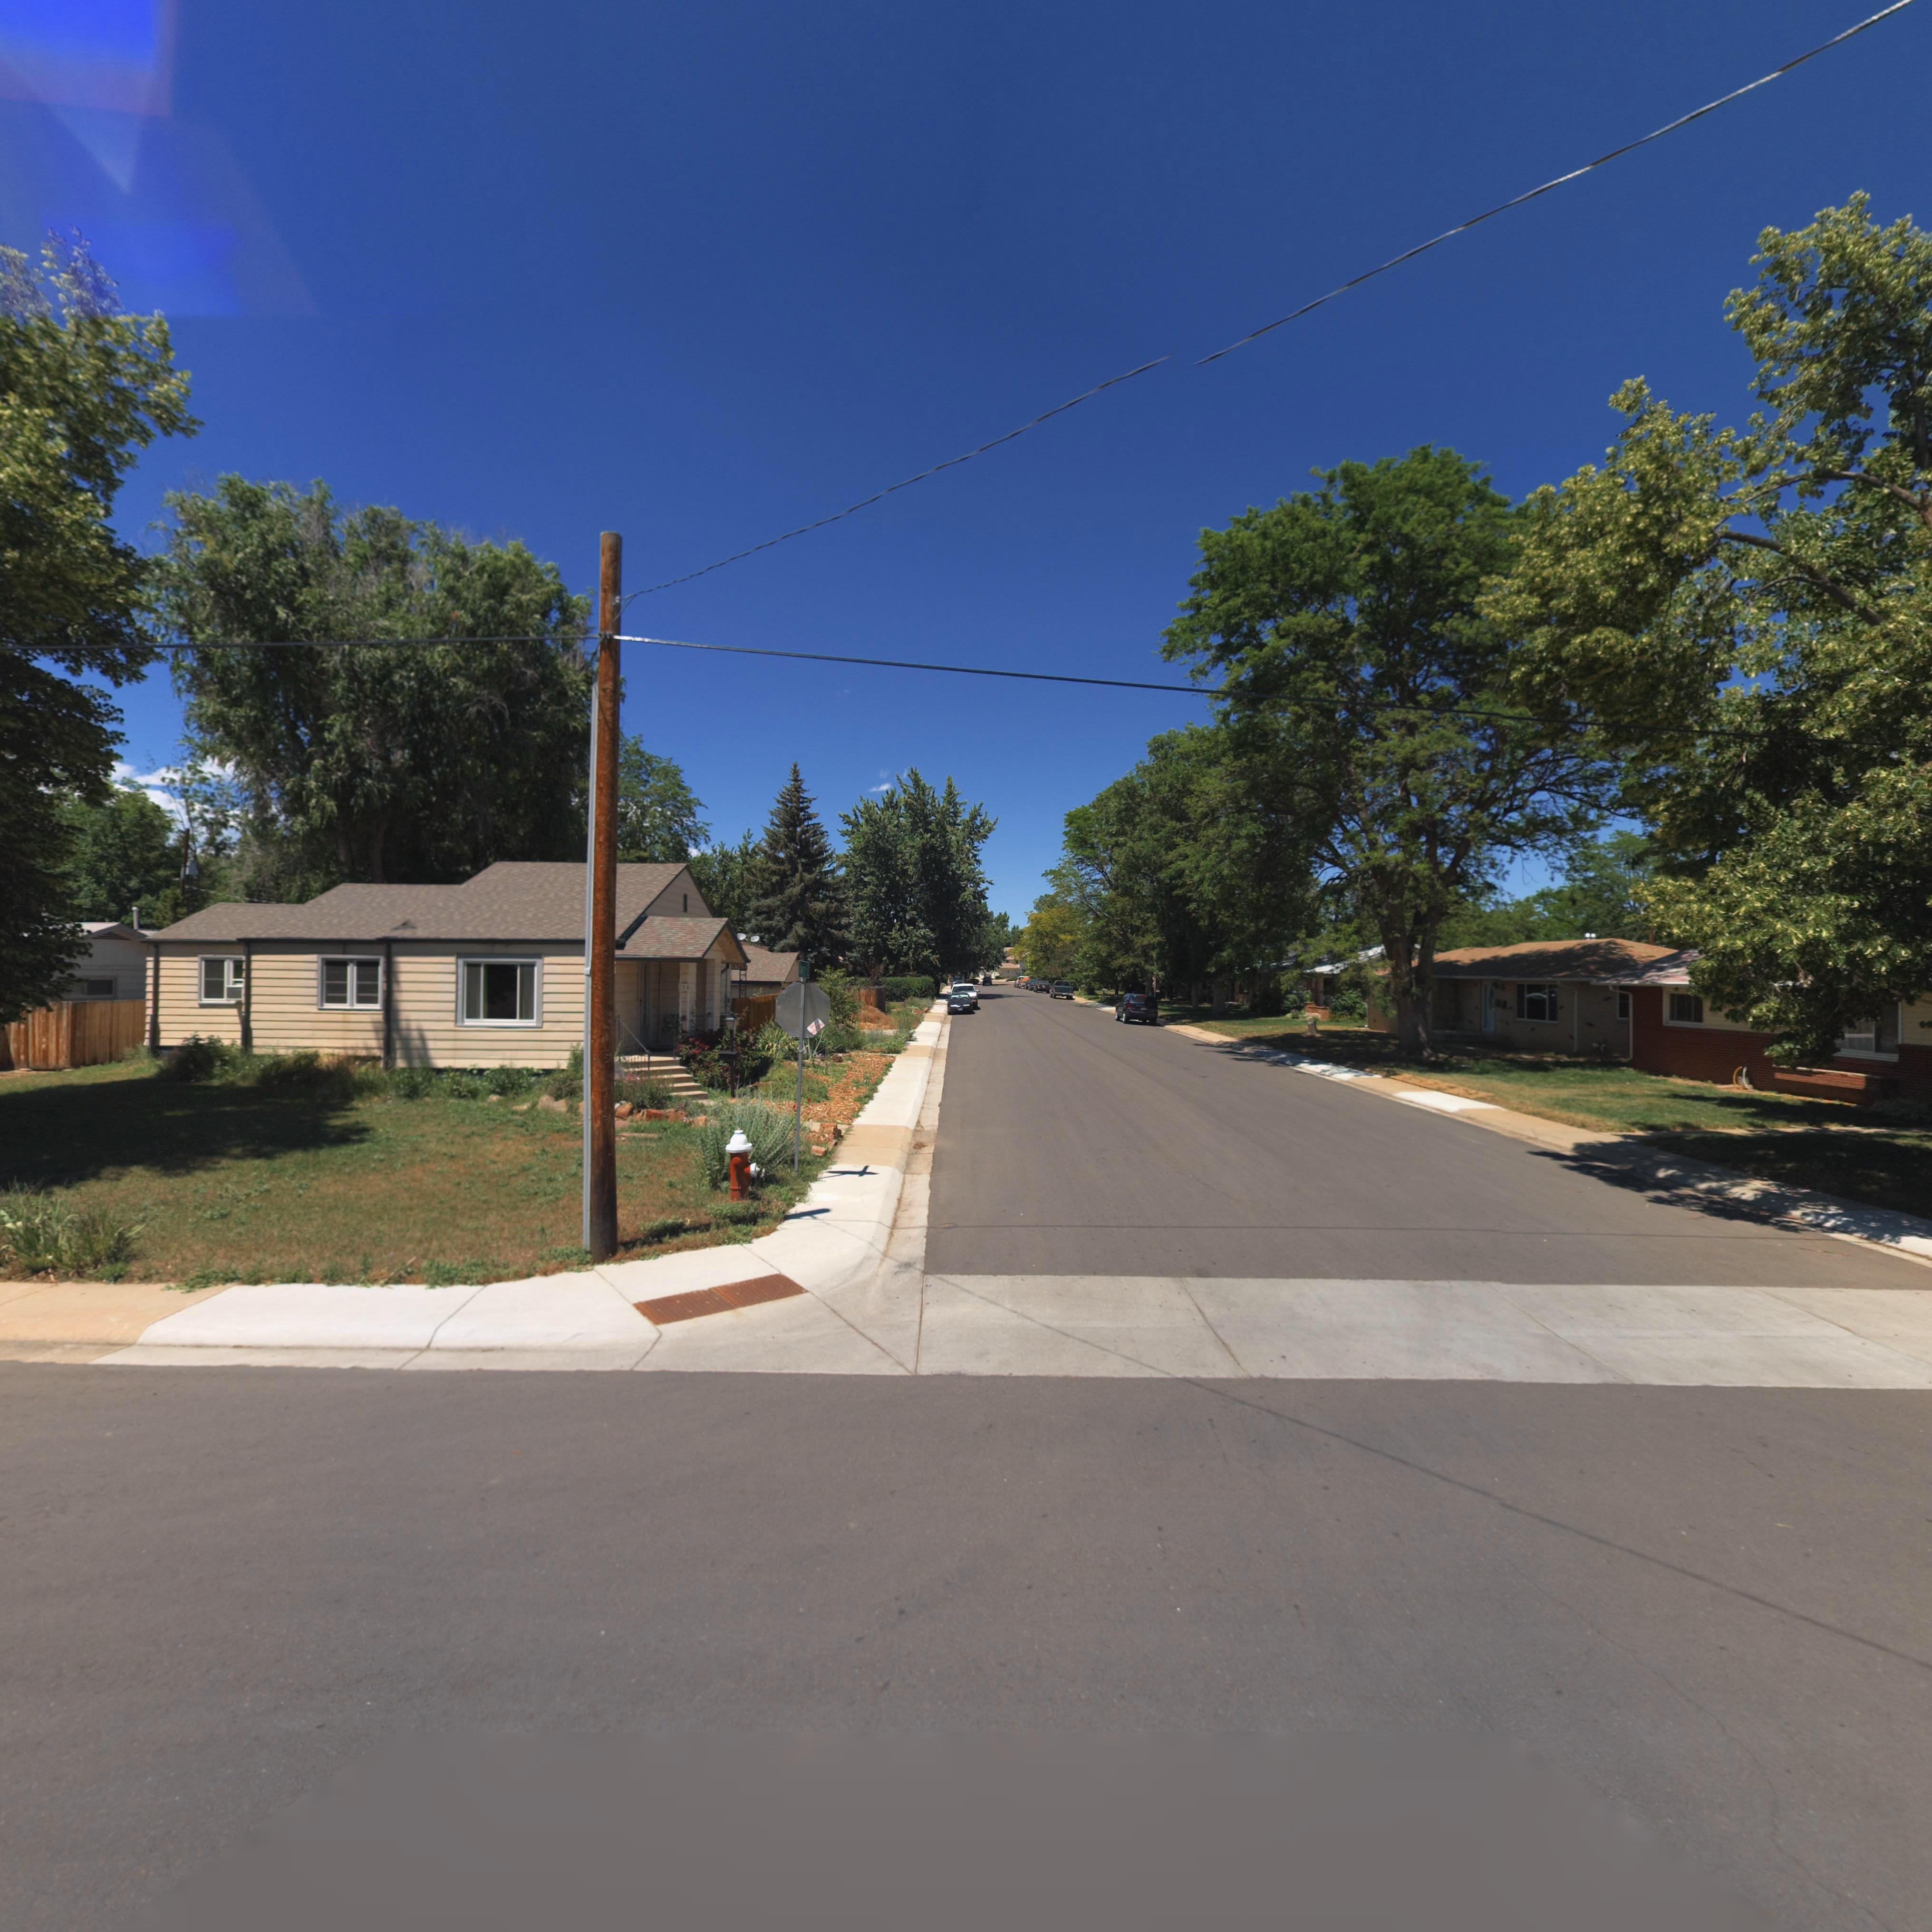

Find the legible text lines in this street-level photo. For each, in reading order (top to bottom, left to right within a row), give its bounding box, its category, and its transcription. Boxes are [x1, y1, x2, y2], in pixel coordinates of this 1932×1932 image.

[678, 984, 689, 990] StreetNumber: 214